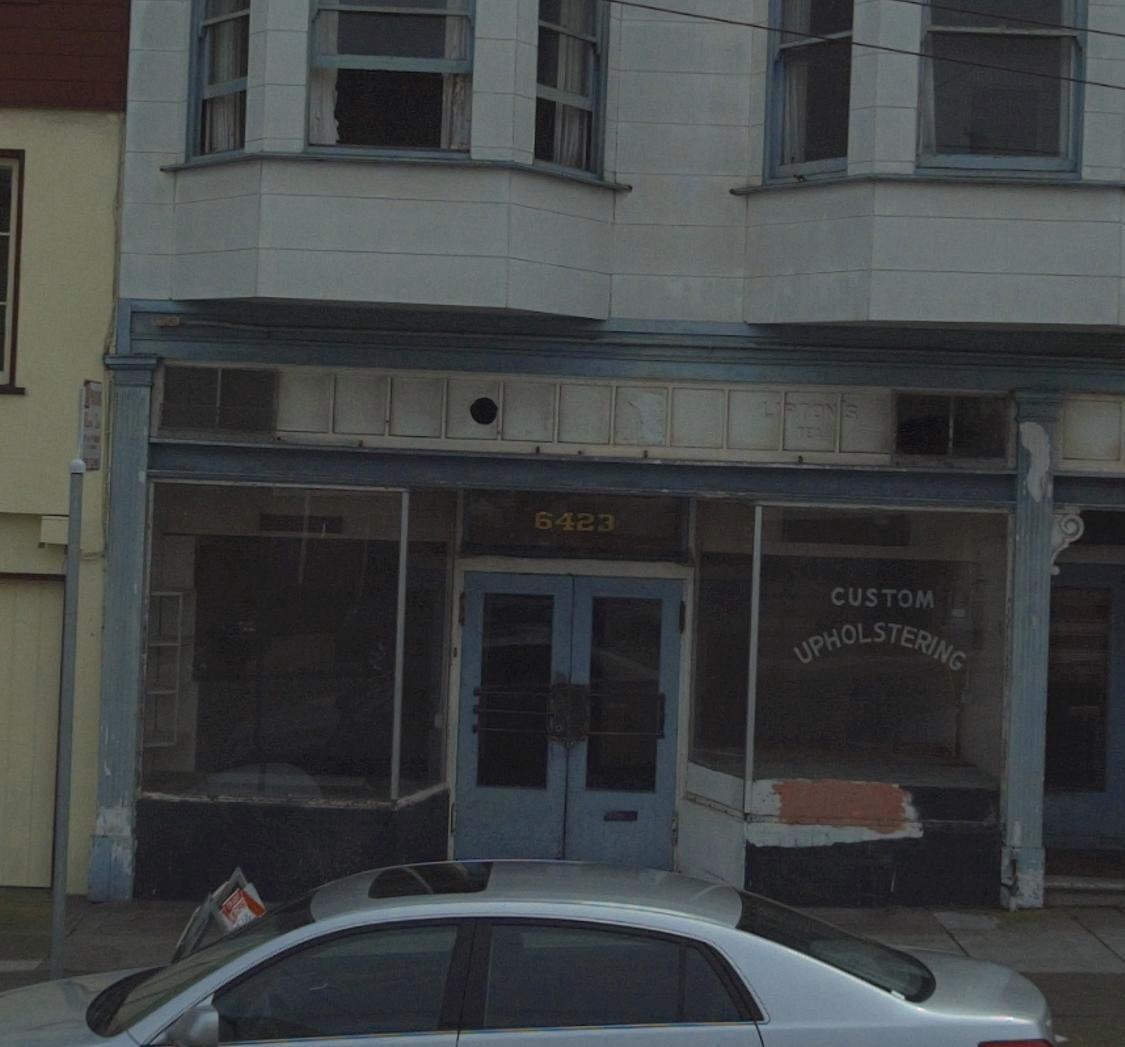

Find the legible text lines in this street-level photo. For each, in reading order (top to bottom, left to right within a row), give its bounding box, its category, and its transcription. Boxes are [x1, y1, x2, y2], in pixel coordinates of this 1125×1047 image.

[534, 510, 616, 533] StreetNumber: 6423
[830, 584, 935, 609] None: CUSTOM
[791, 619, 970, 674] None: UPHOSTERING